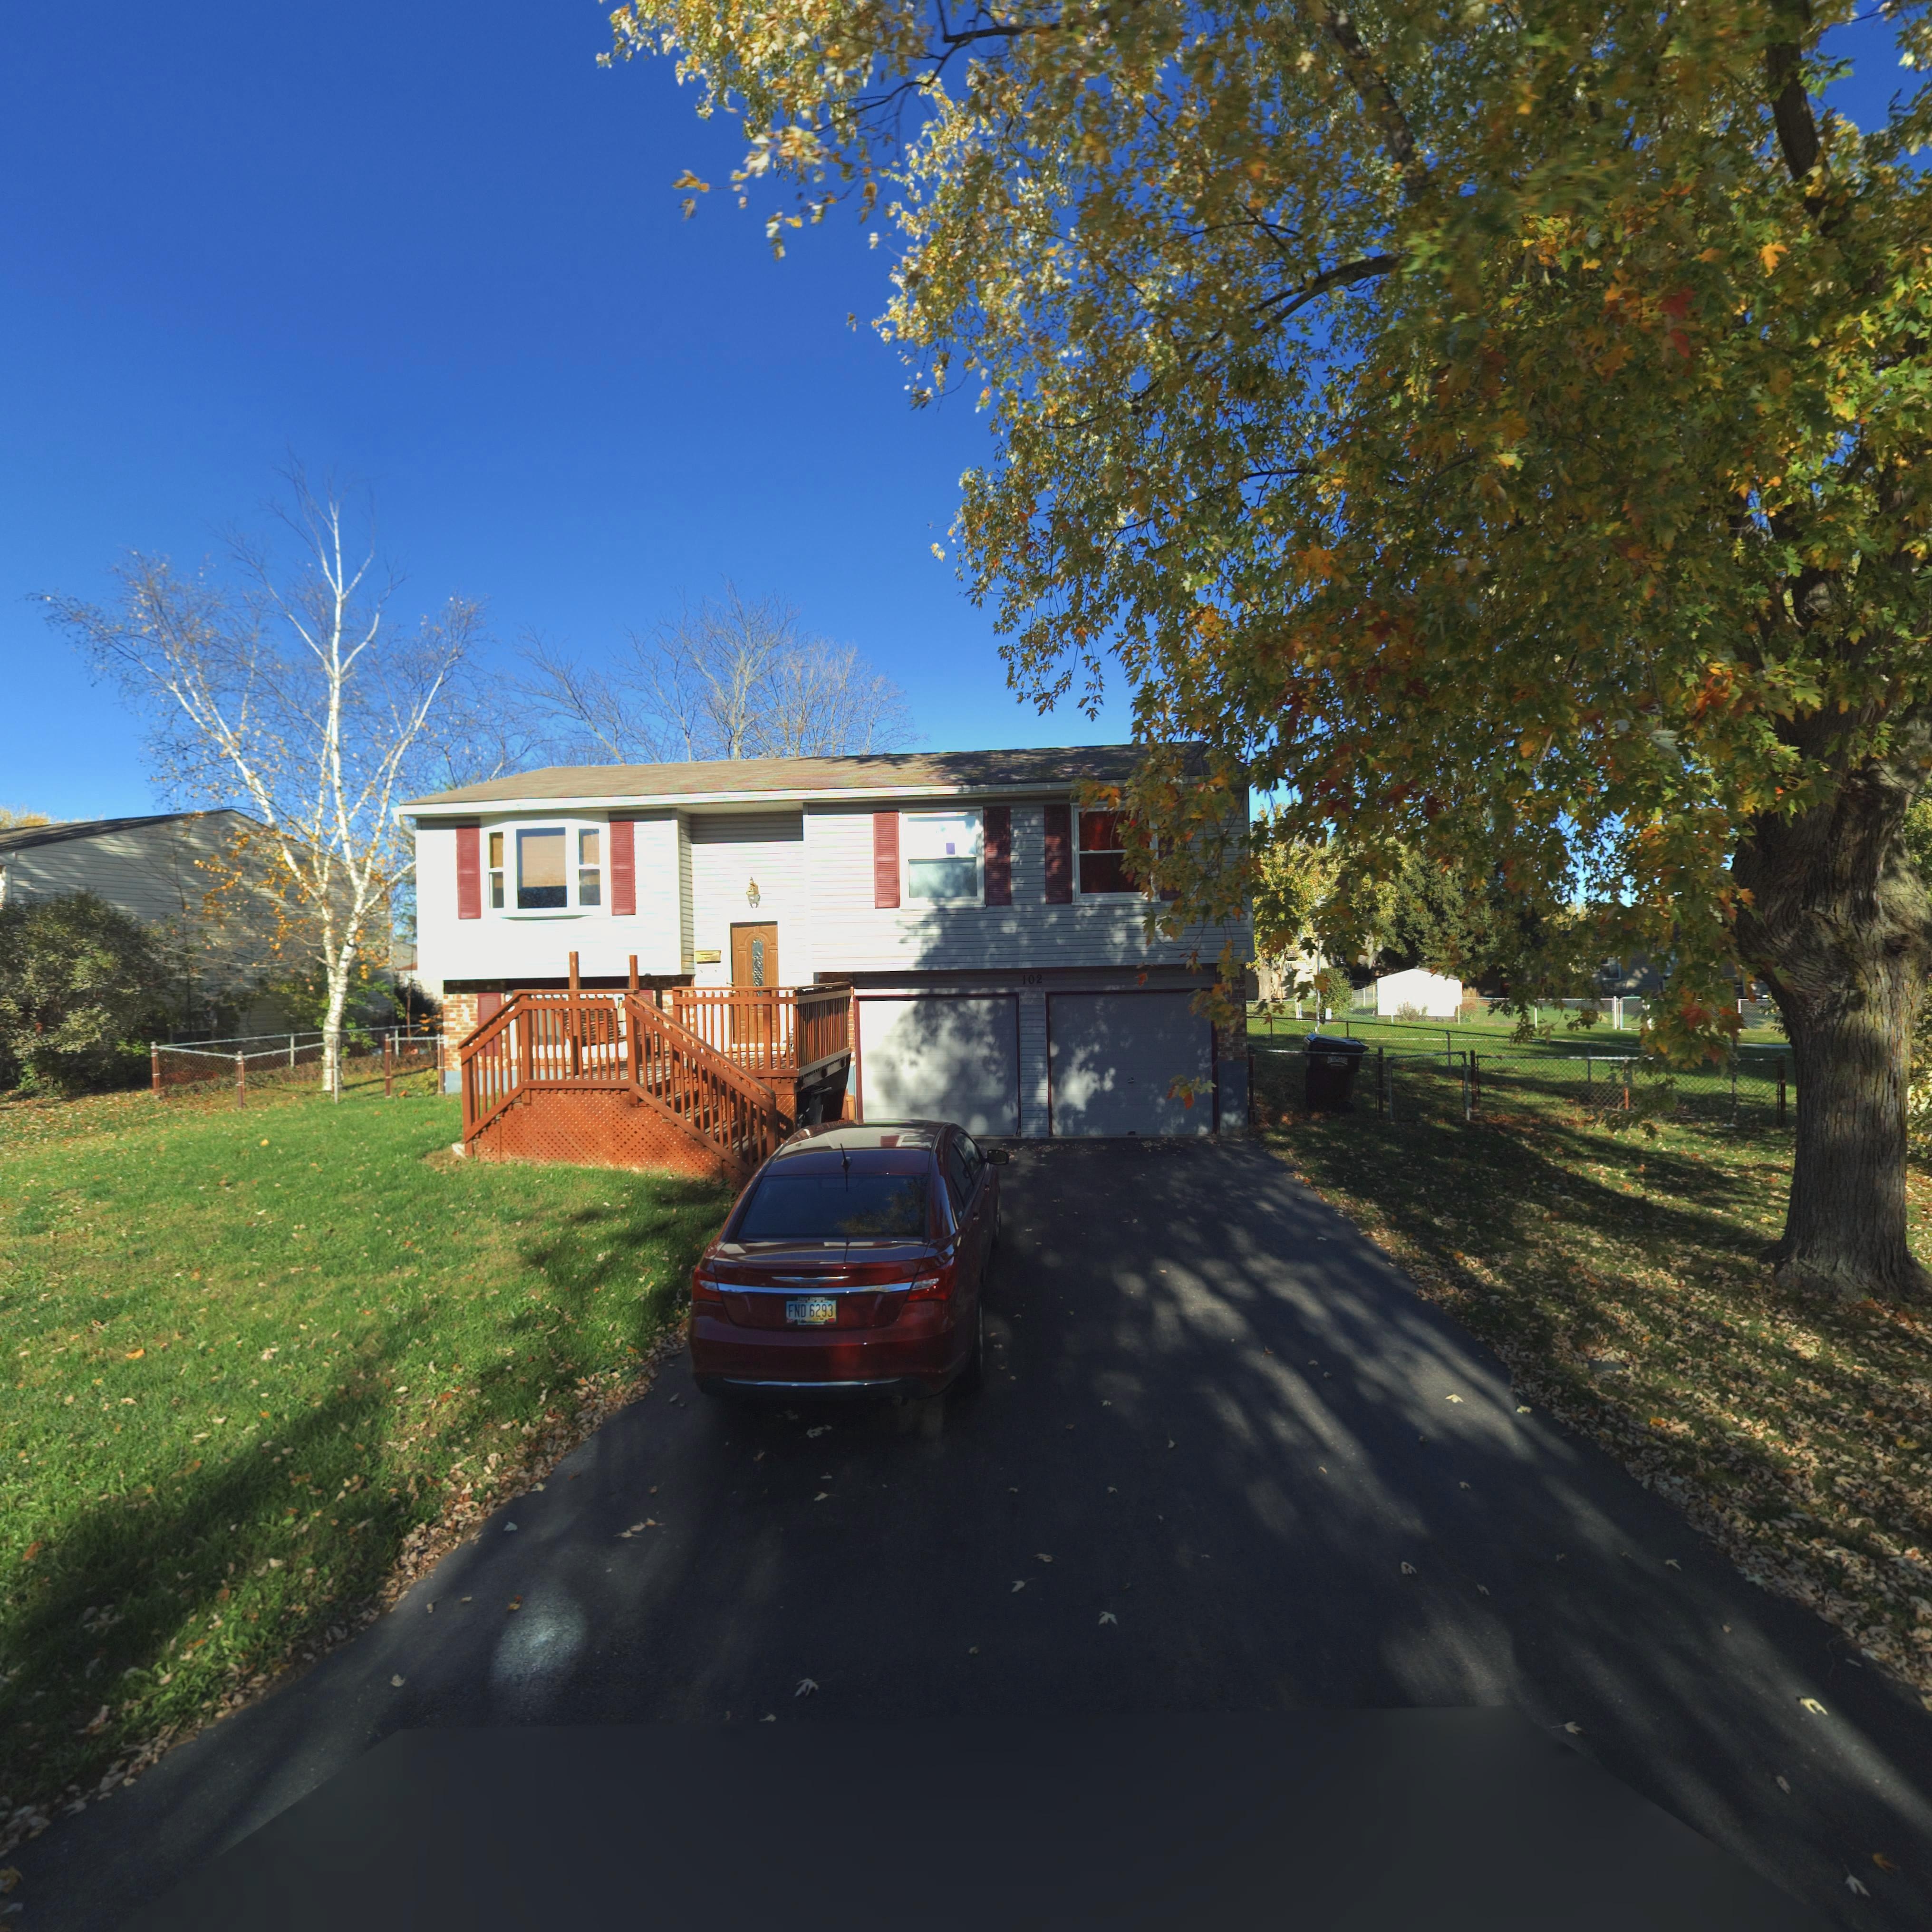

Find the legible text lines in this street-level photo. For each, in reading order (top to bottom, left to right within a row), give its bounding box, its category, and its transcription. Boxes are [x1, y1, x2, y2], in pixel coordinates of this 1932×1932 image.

[1022, 974, 1043, 985] StreetNumber: 102